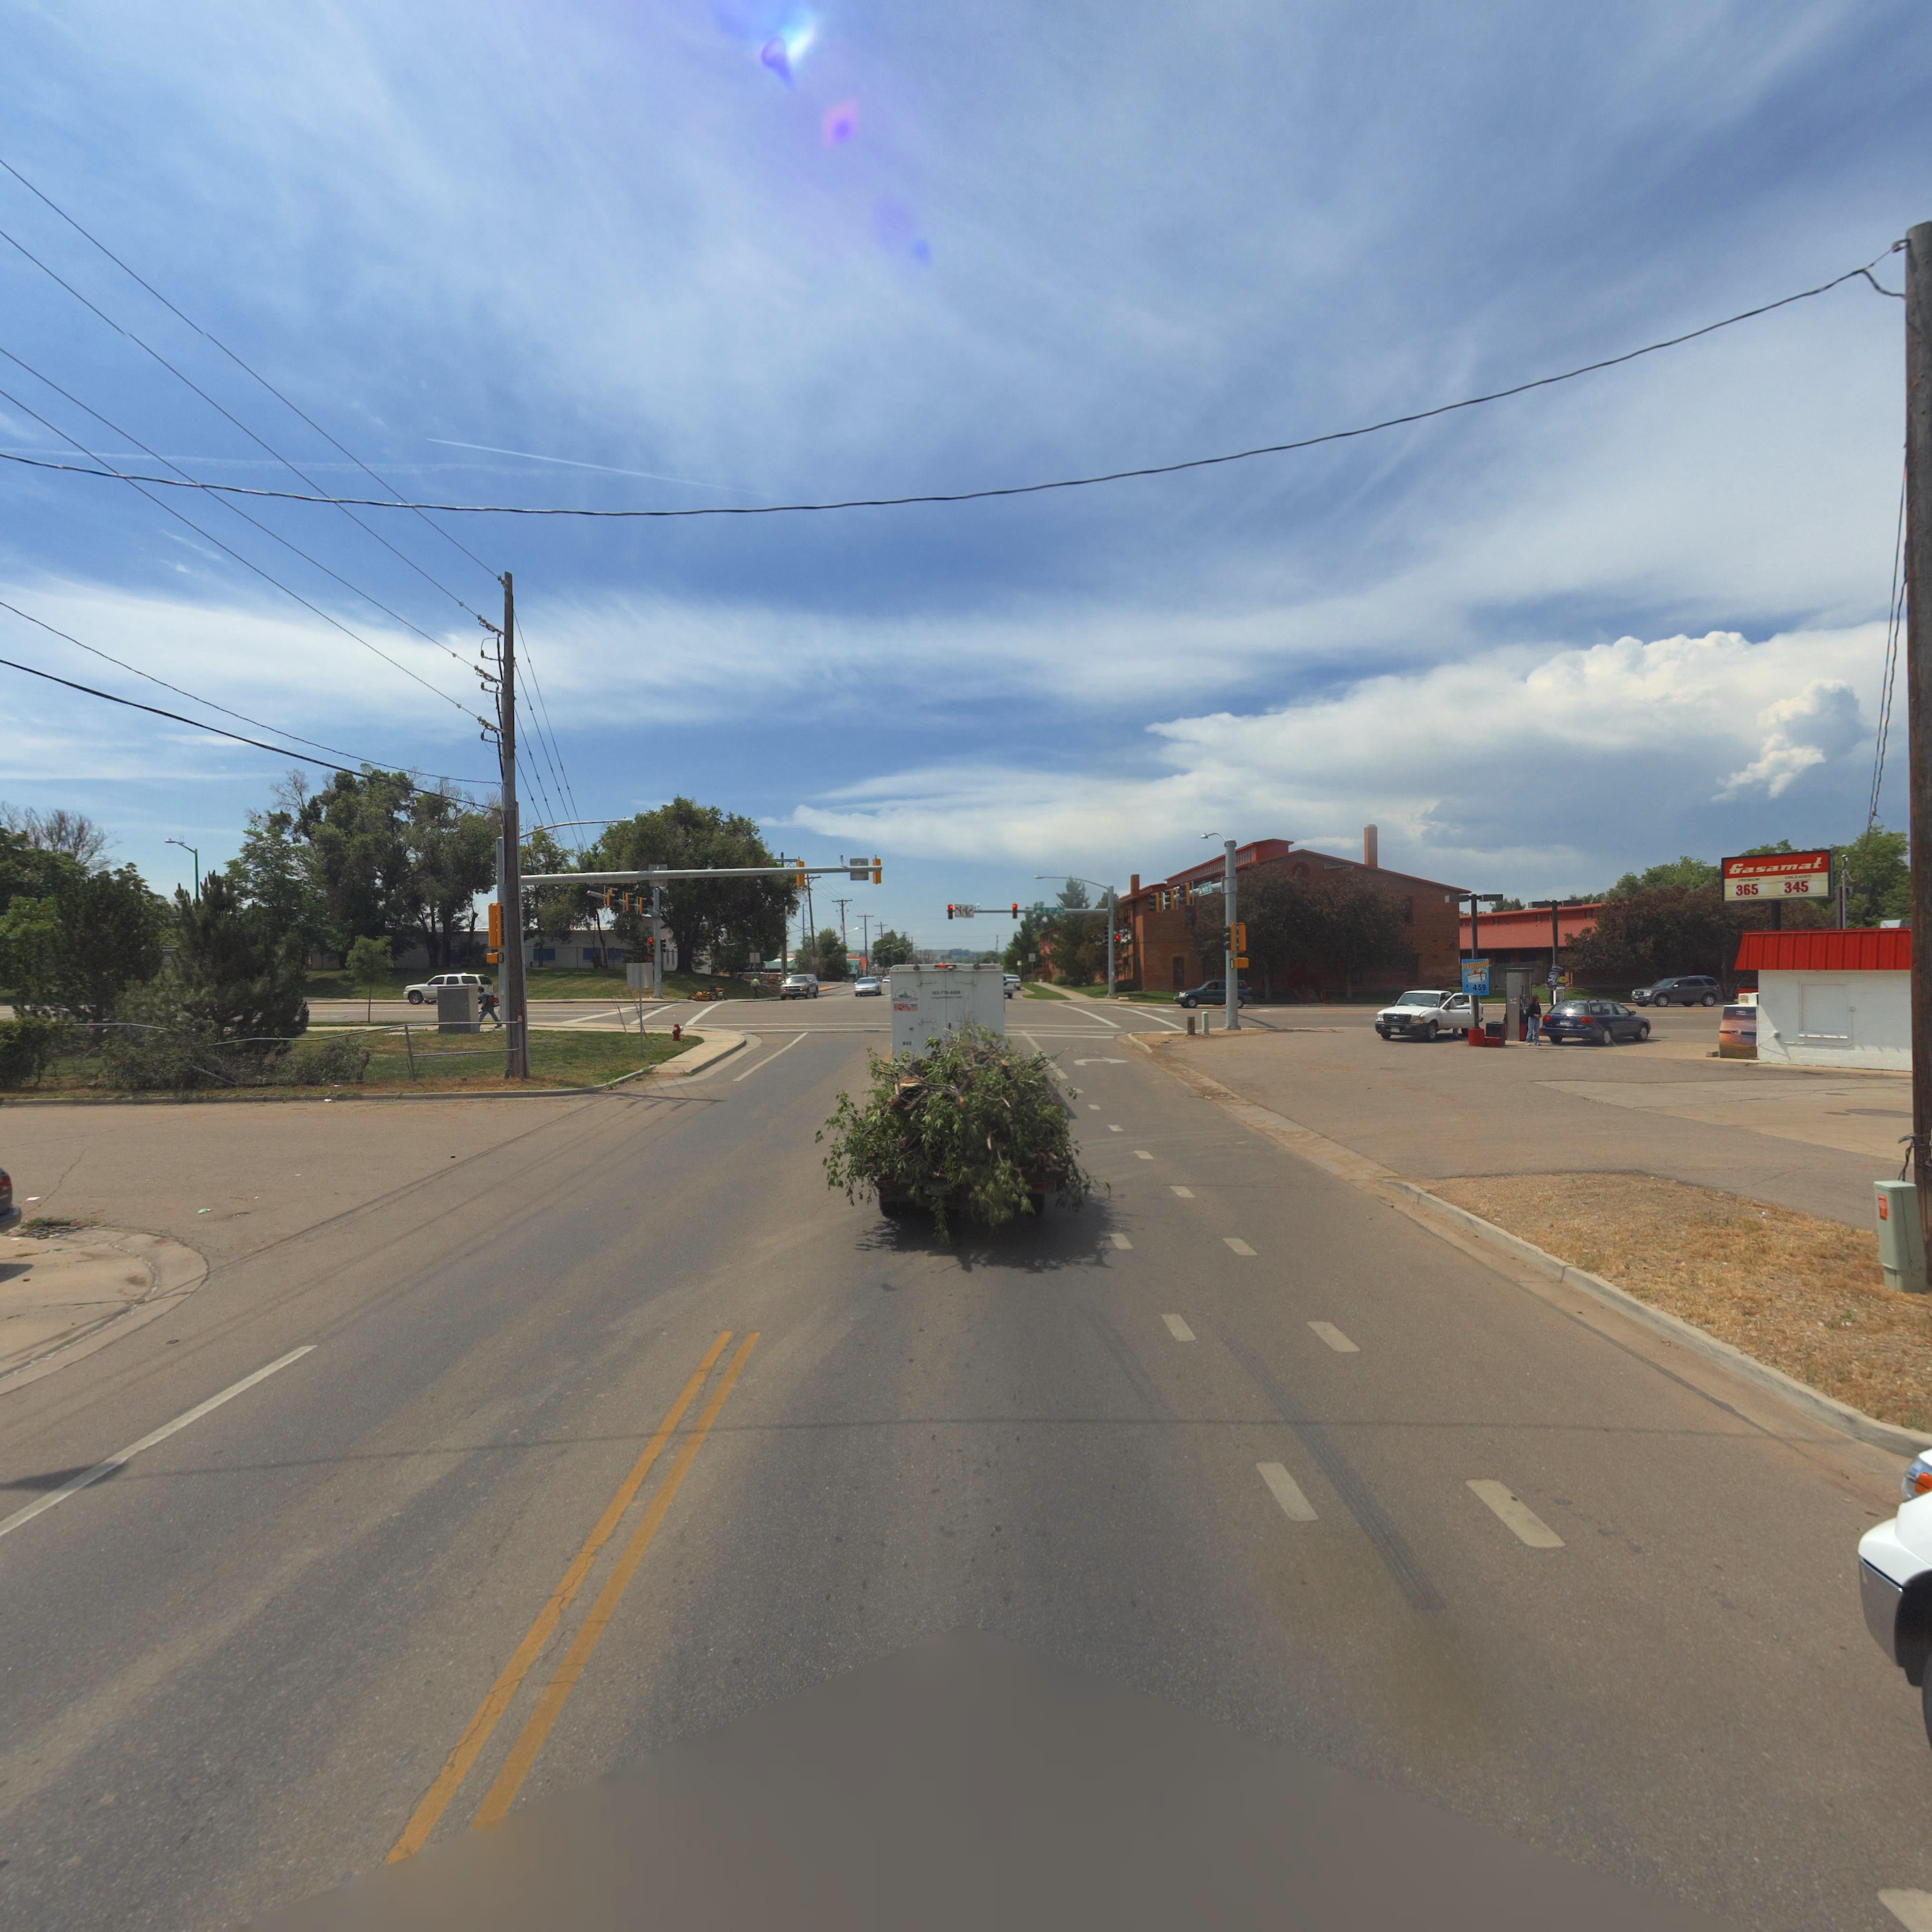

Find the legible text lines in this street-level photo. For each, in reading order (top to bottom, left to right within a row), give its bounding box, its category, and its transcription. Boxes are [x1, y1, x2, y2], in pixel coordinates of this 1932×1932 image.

[1729, 856, 1823, 874] BusinessName: Gasamat